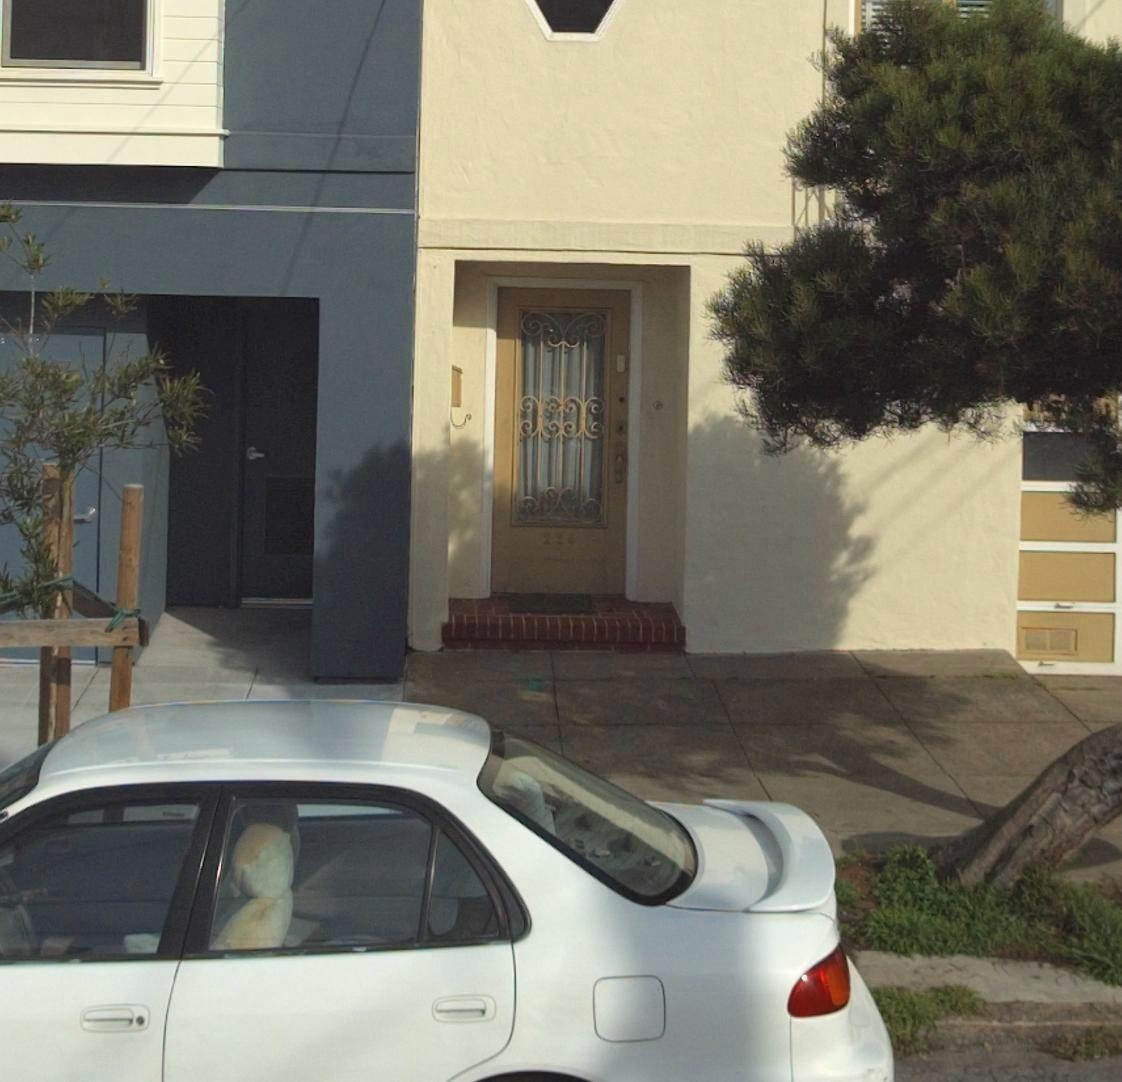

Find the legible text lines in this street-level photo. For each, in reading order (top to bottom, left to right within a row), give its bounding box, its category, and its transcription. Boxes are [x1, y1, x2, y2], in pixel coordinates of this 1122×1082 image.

[539, 530, 578, 547] StreetNumber: 224